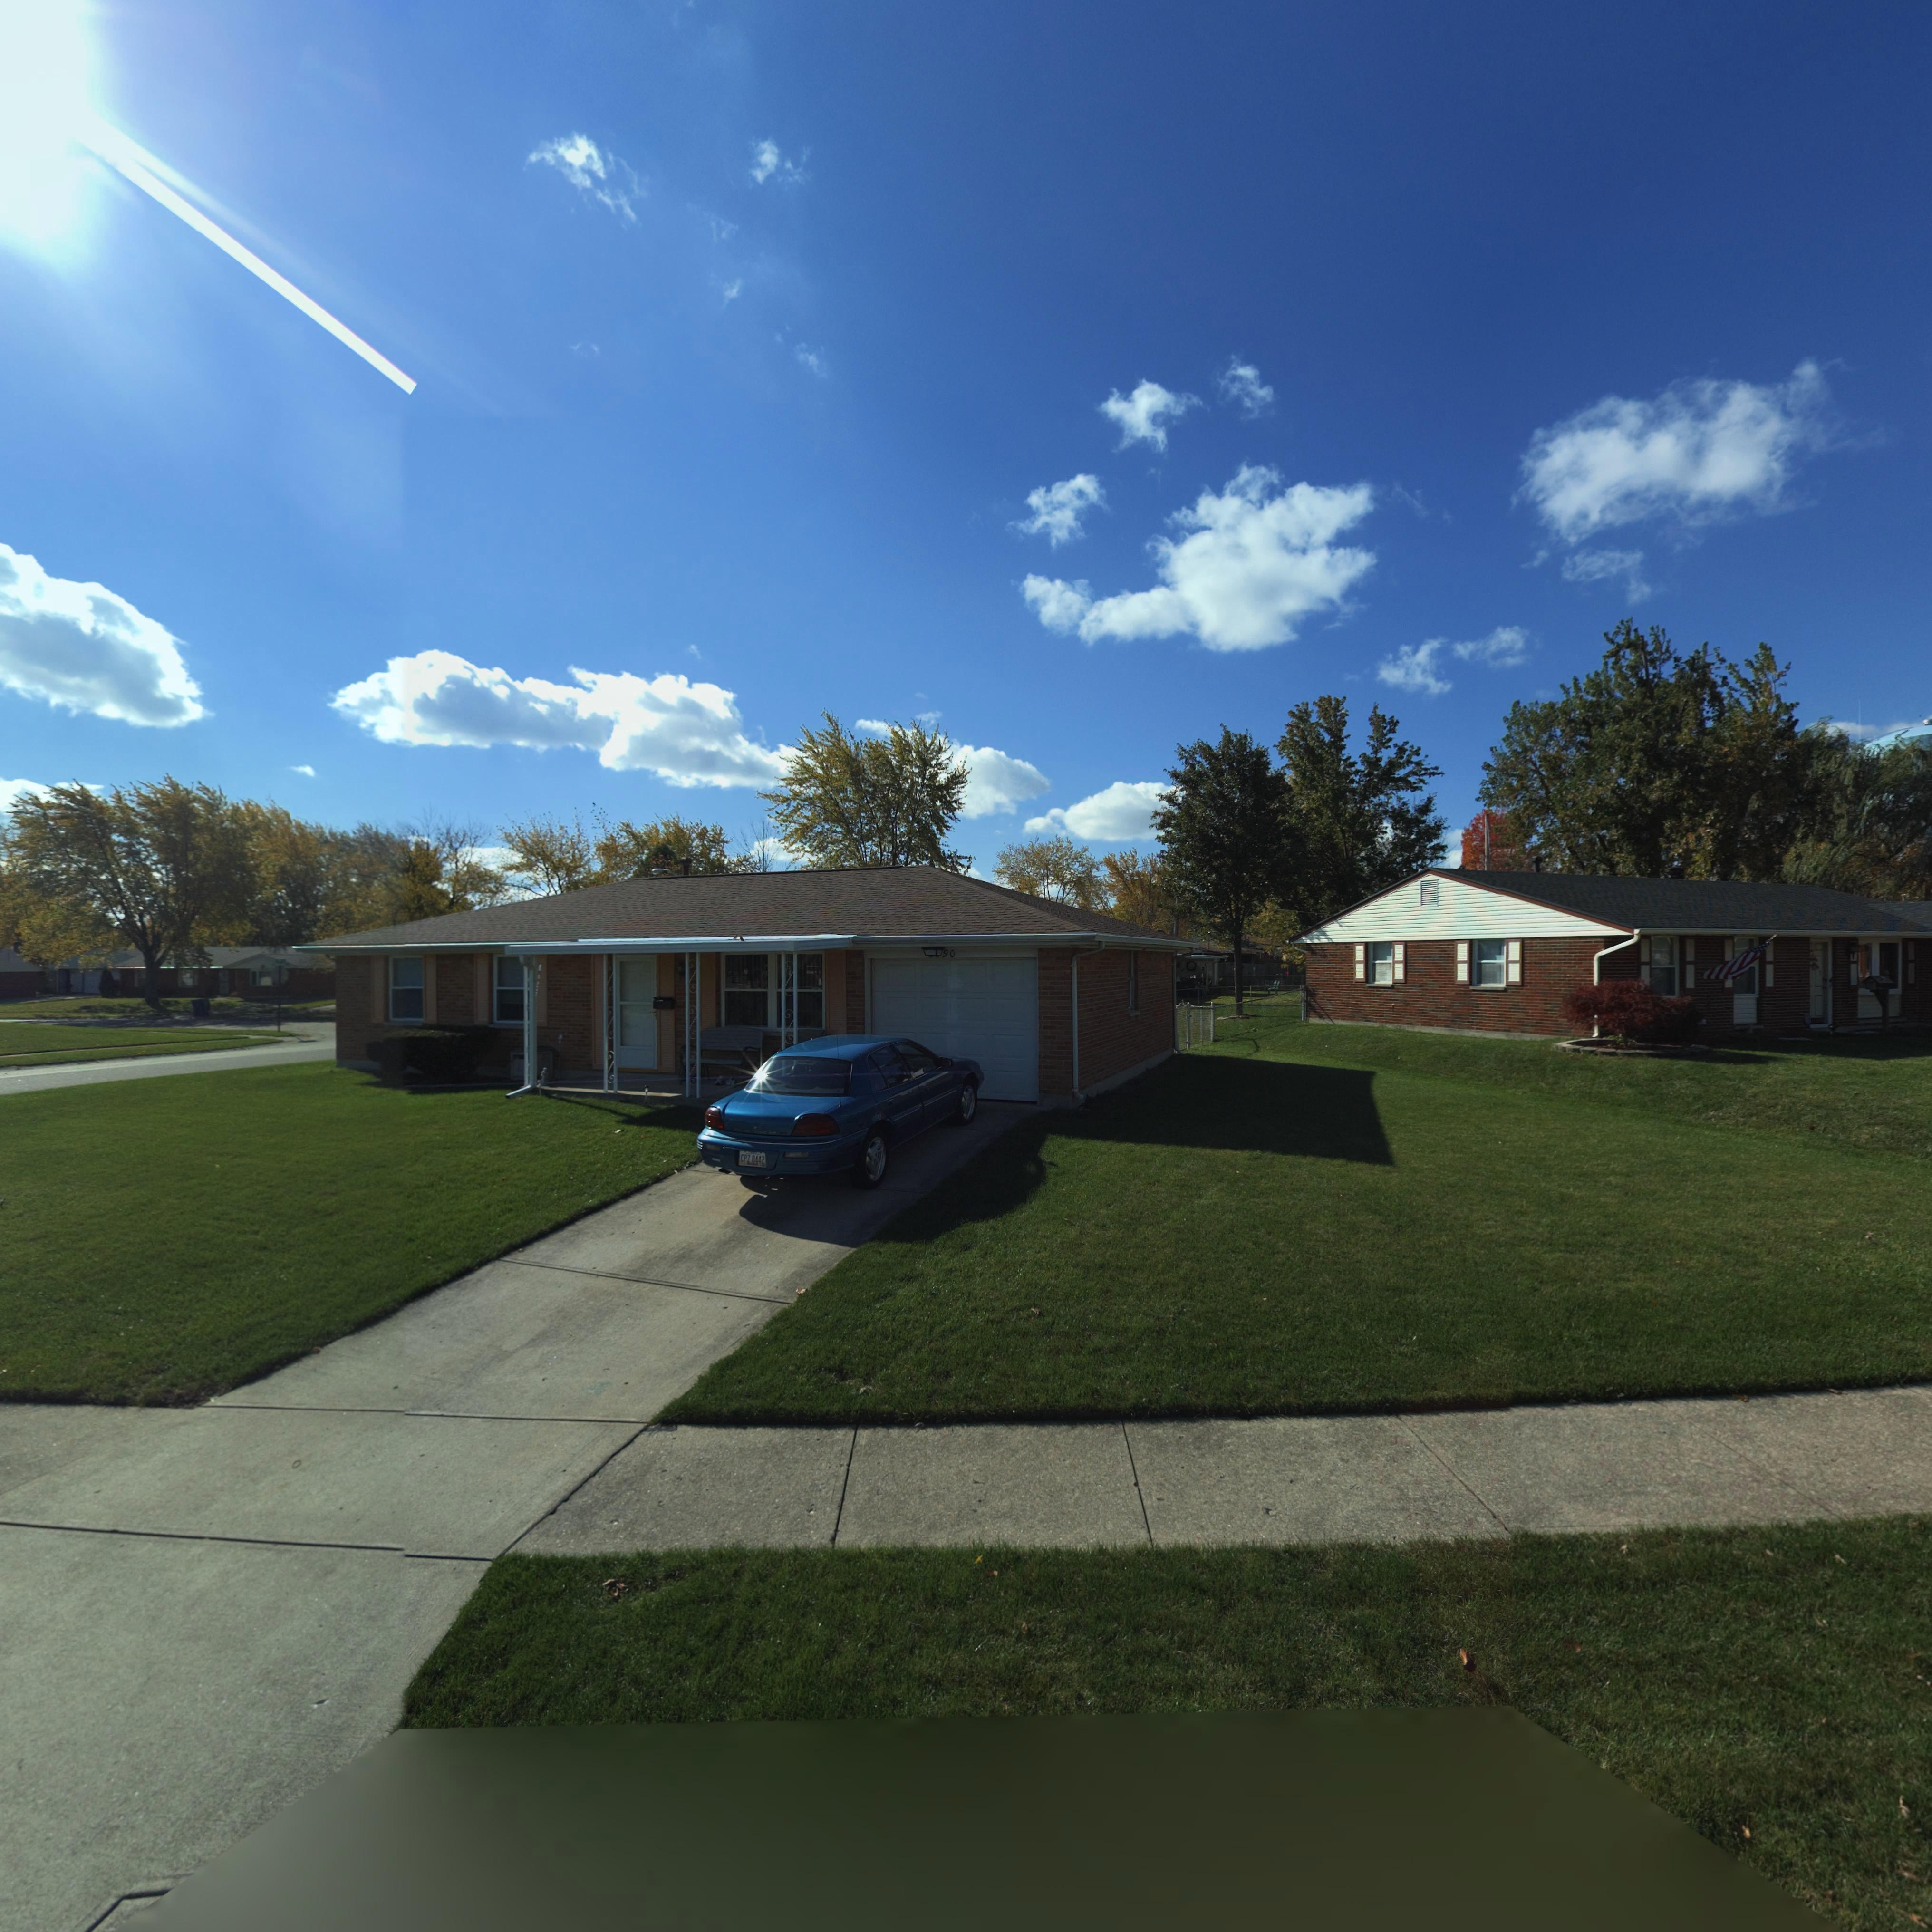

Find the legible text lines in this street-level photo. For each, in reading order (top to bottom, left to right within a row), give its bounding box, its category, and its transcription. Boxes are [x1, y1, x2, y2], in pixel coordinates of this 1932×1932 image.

[942, 949, 956, 958] StreetNumber: 90